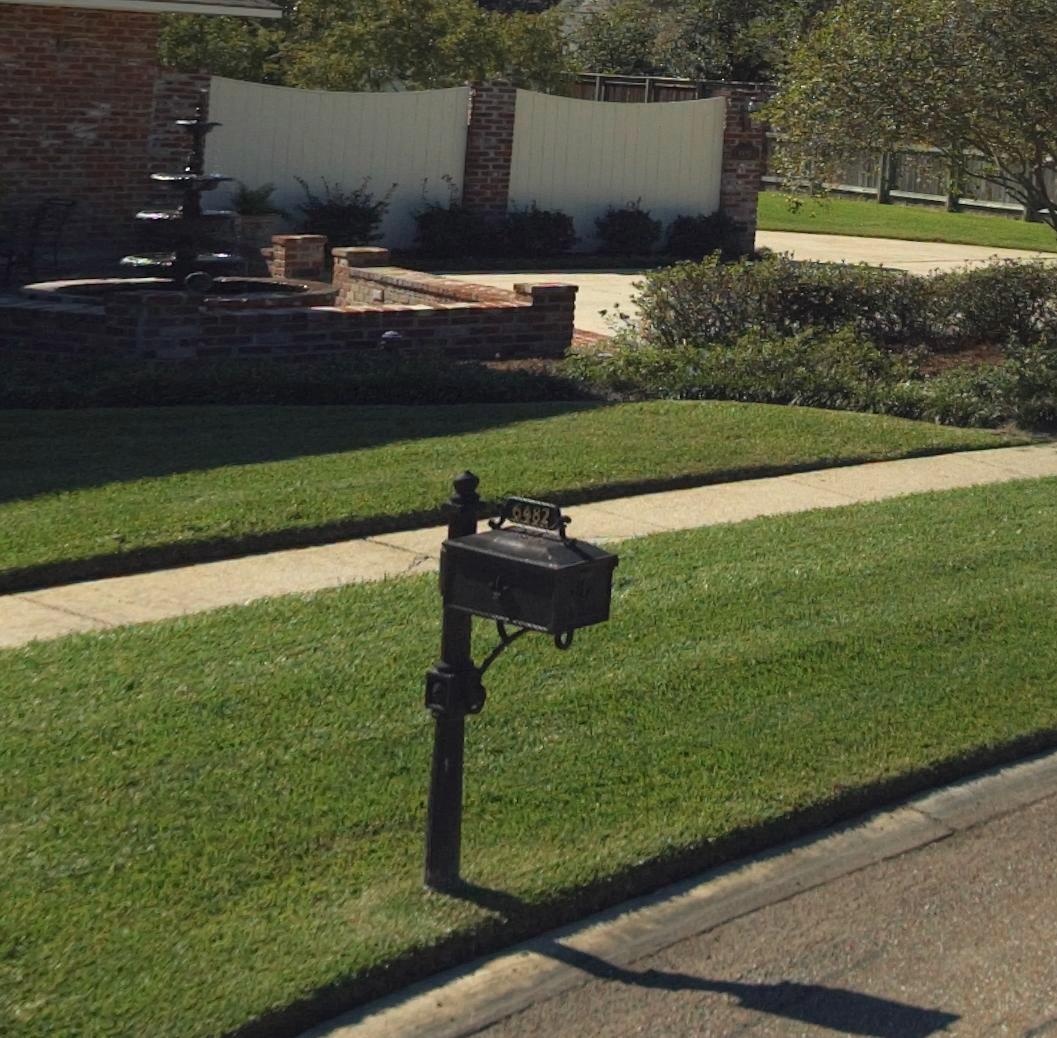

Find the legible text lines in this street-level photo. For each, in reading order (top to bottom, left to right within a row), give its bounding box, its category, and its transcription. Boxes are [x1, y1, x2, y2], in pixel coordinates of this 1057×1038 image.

[509, 498, 554, 528] StreetNumber: 6482